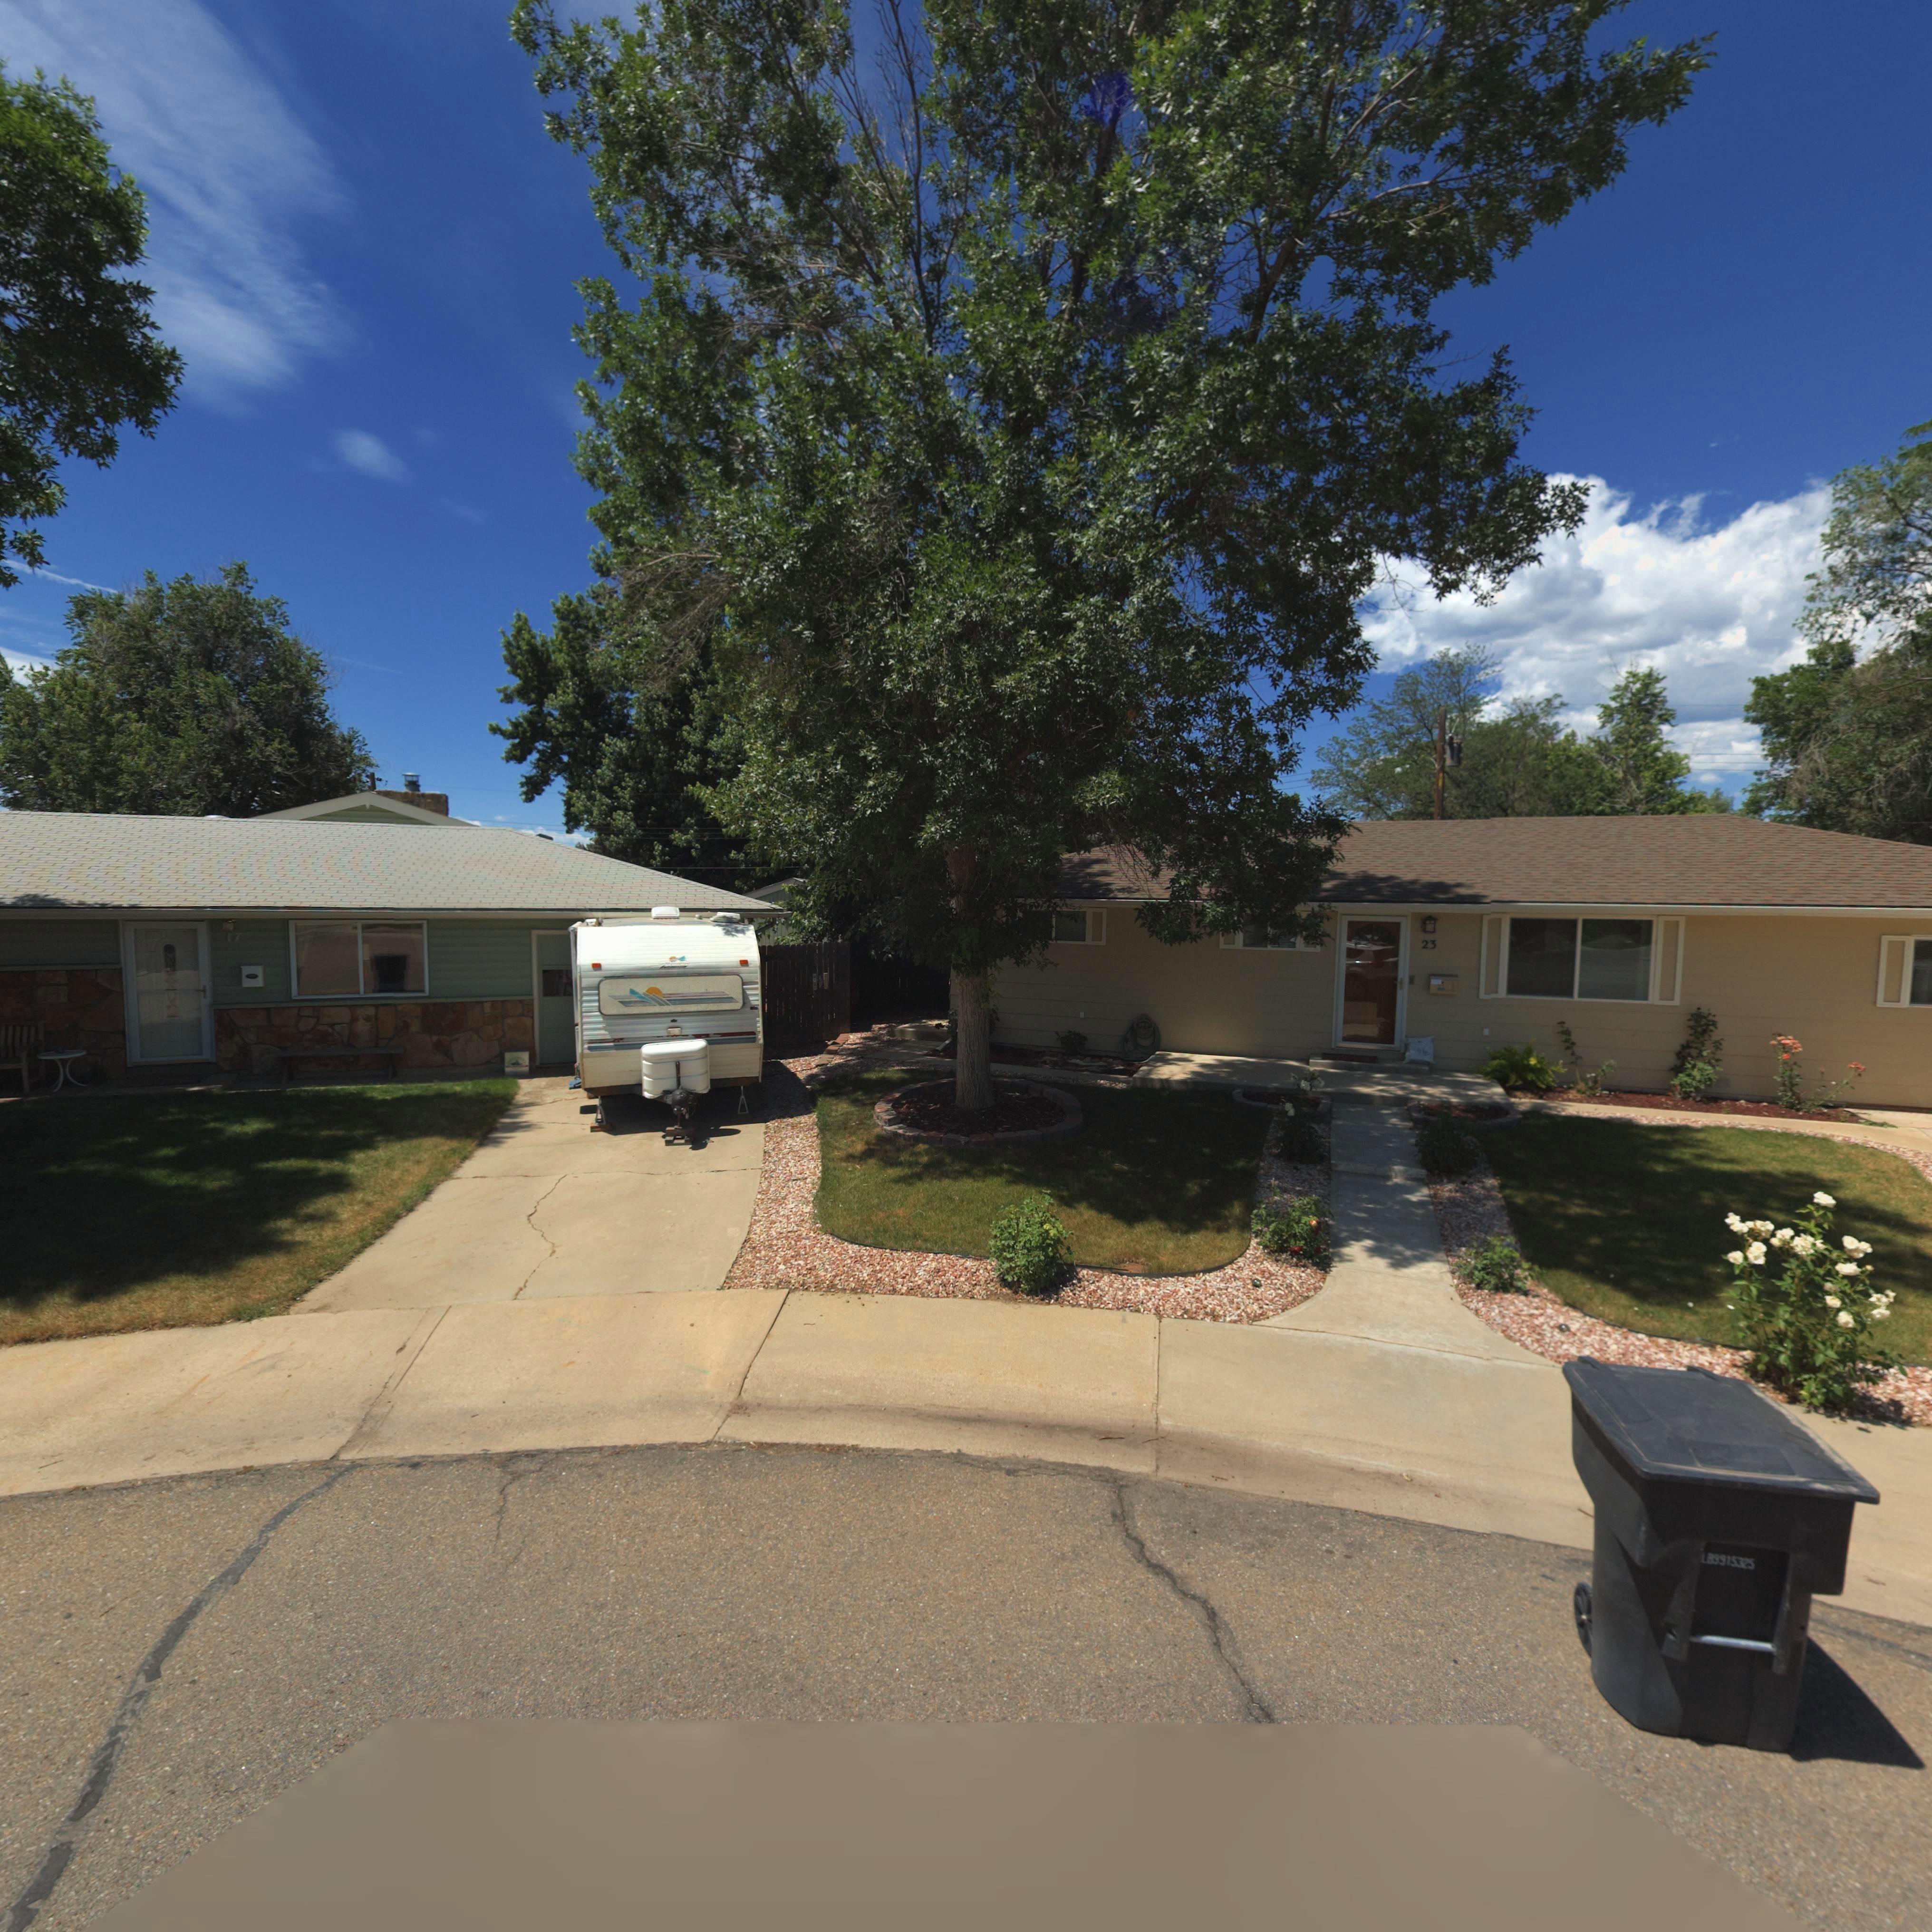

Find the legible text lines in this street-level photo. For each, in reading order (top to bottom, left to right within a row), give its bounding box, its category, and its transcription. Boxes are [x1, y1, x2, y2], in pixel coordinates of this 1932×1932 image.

[227, 932, 242, 942] StreetNumber: 17
[1421, 939, 1436, 949] StreetNumber: 23